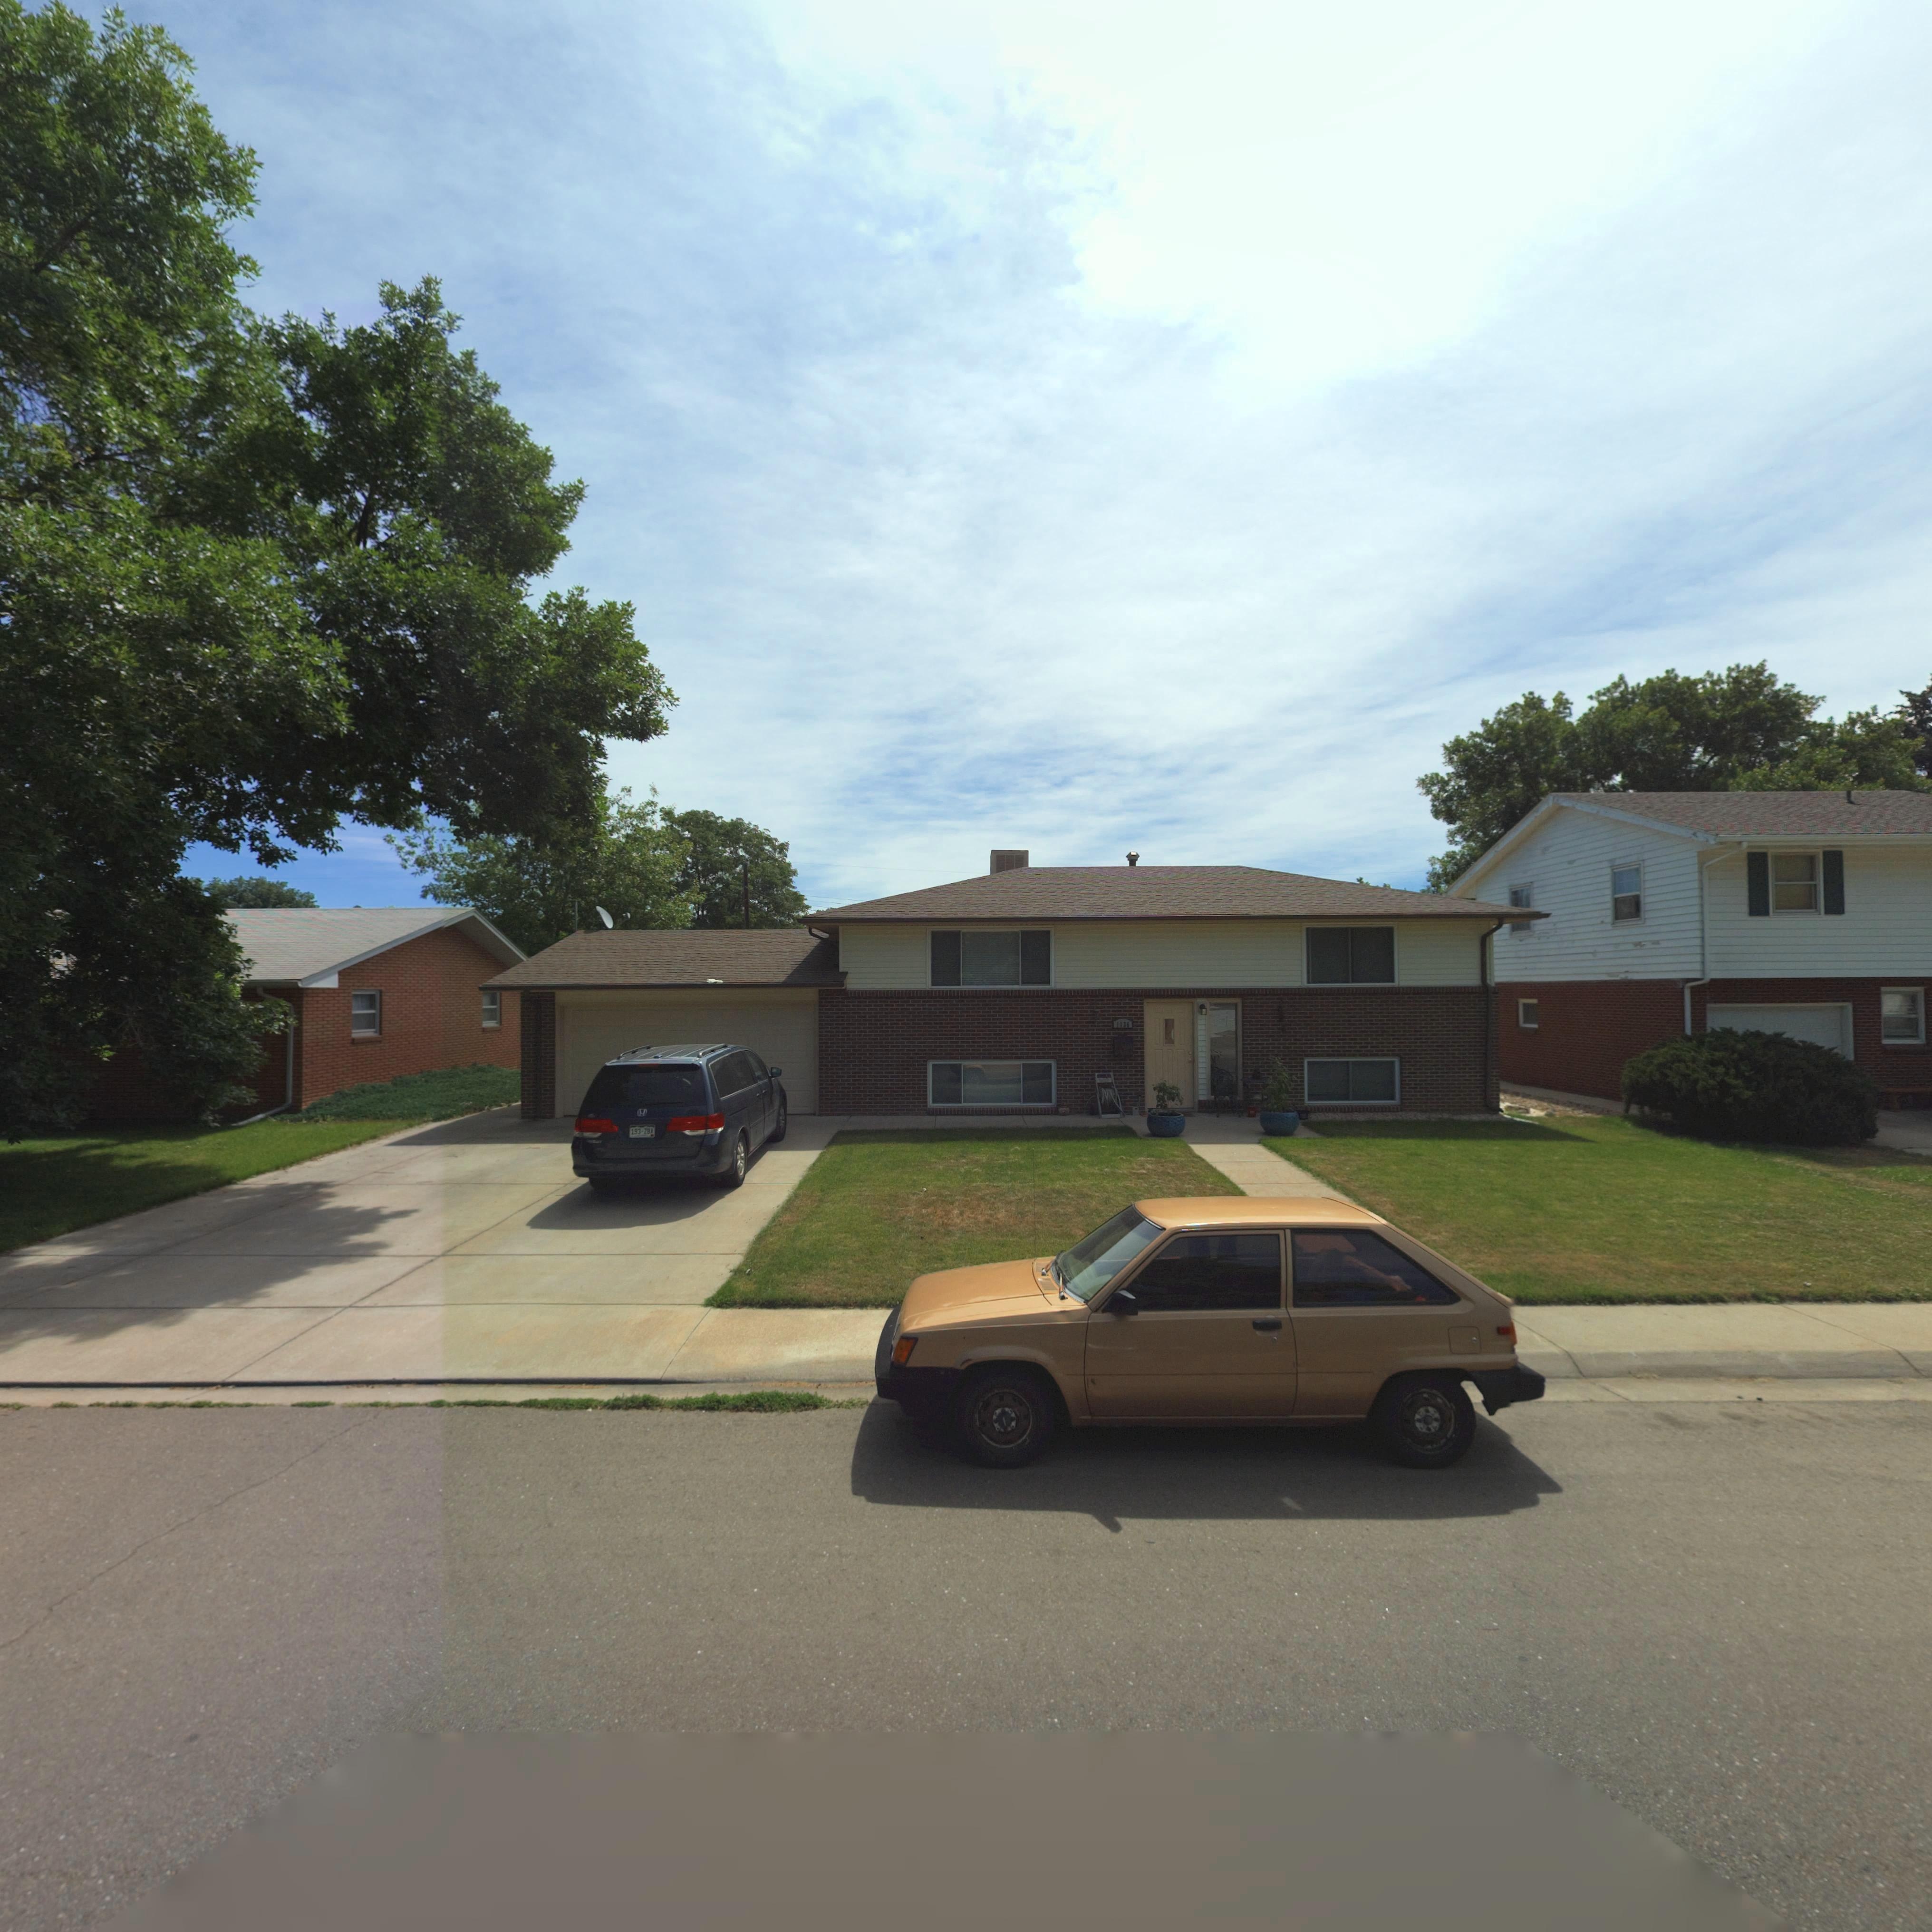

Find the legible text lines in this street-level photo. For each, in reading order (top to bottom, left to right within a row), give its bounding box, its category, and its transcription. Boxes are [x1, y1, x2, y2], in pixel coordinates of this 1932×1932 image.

[1116, 1021, 1130, 1027] StreetNumber: 1136